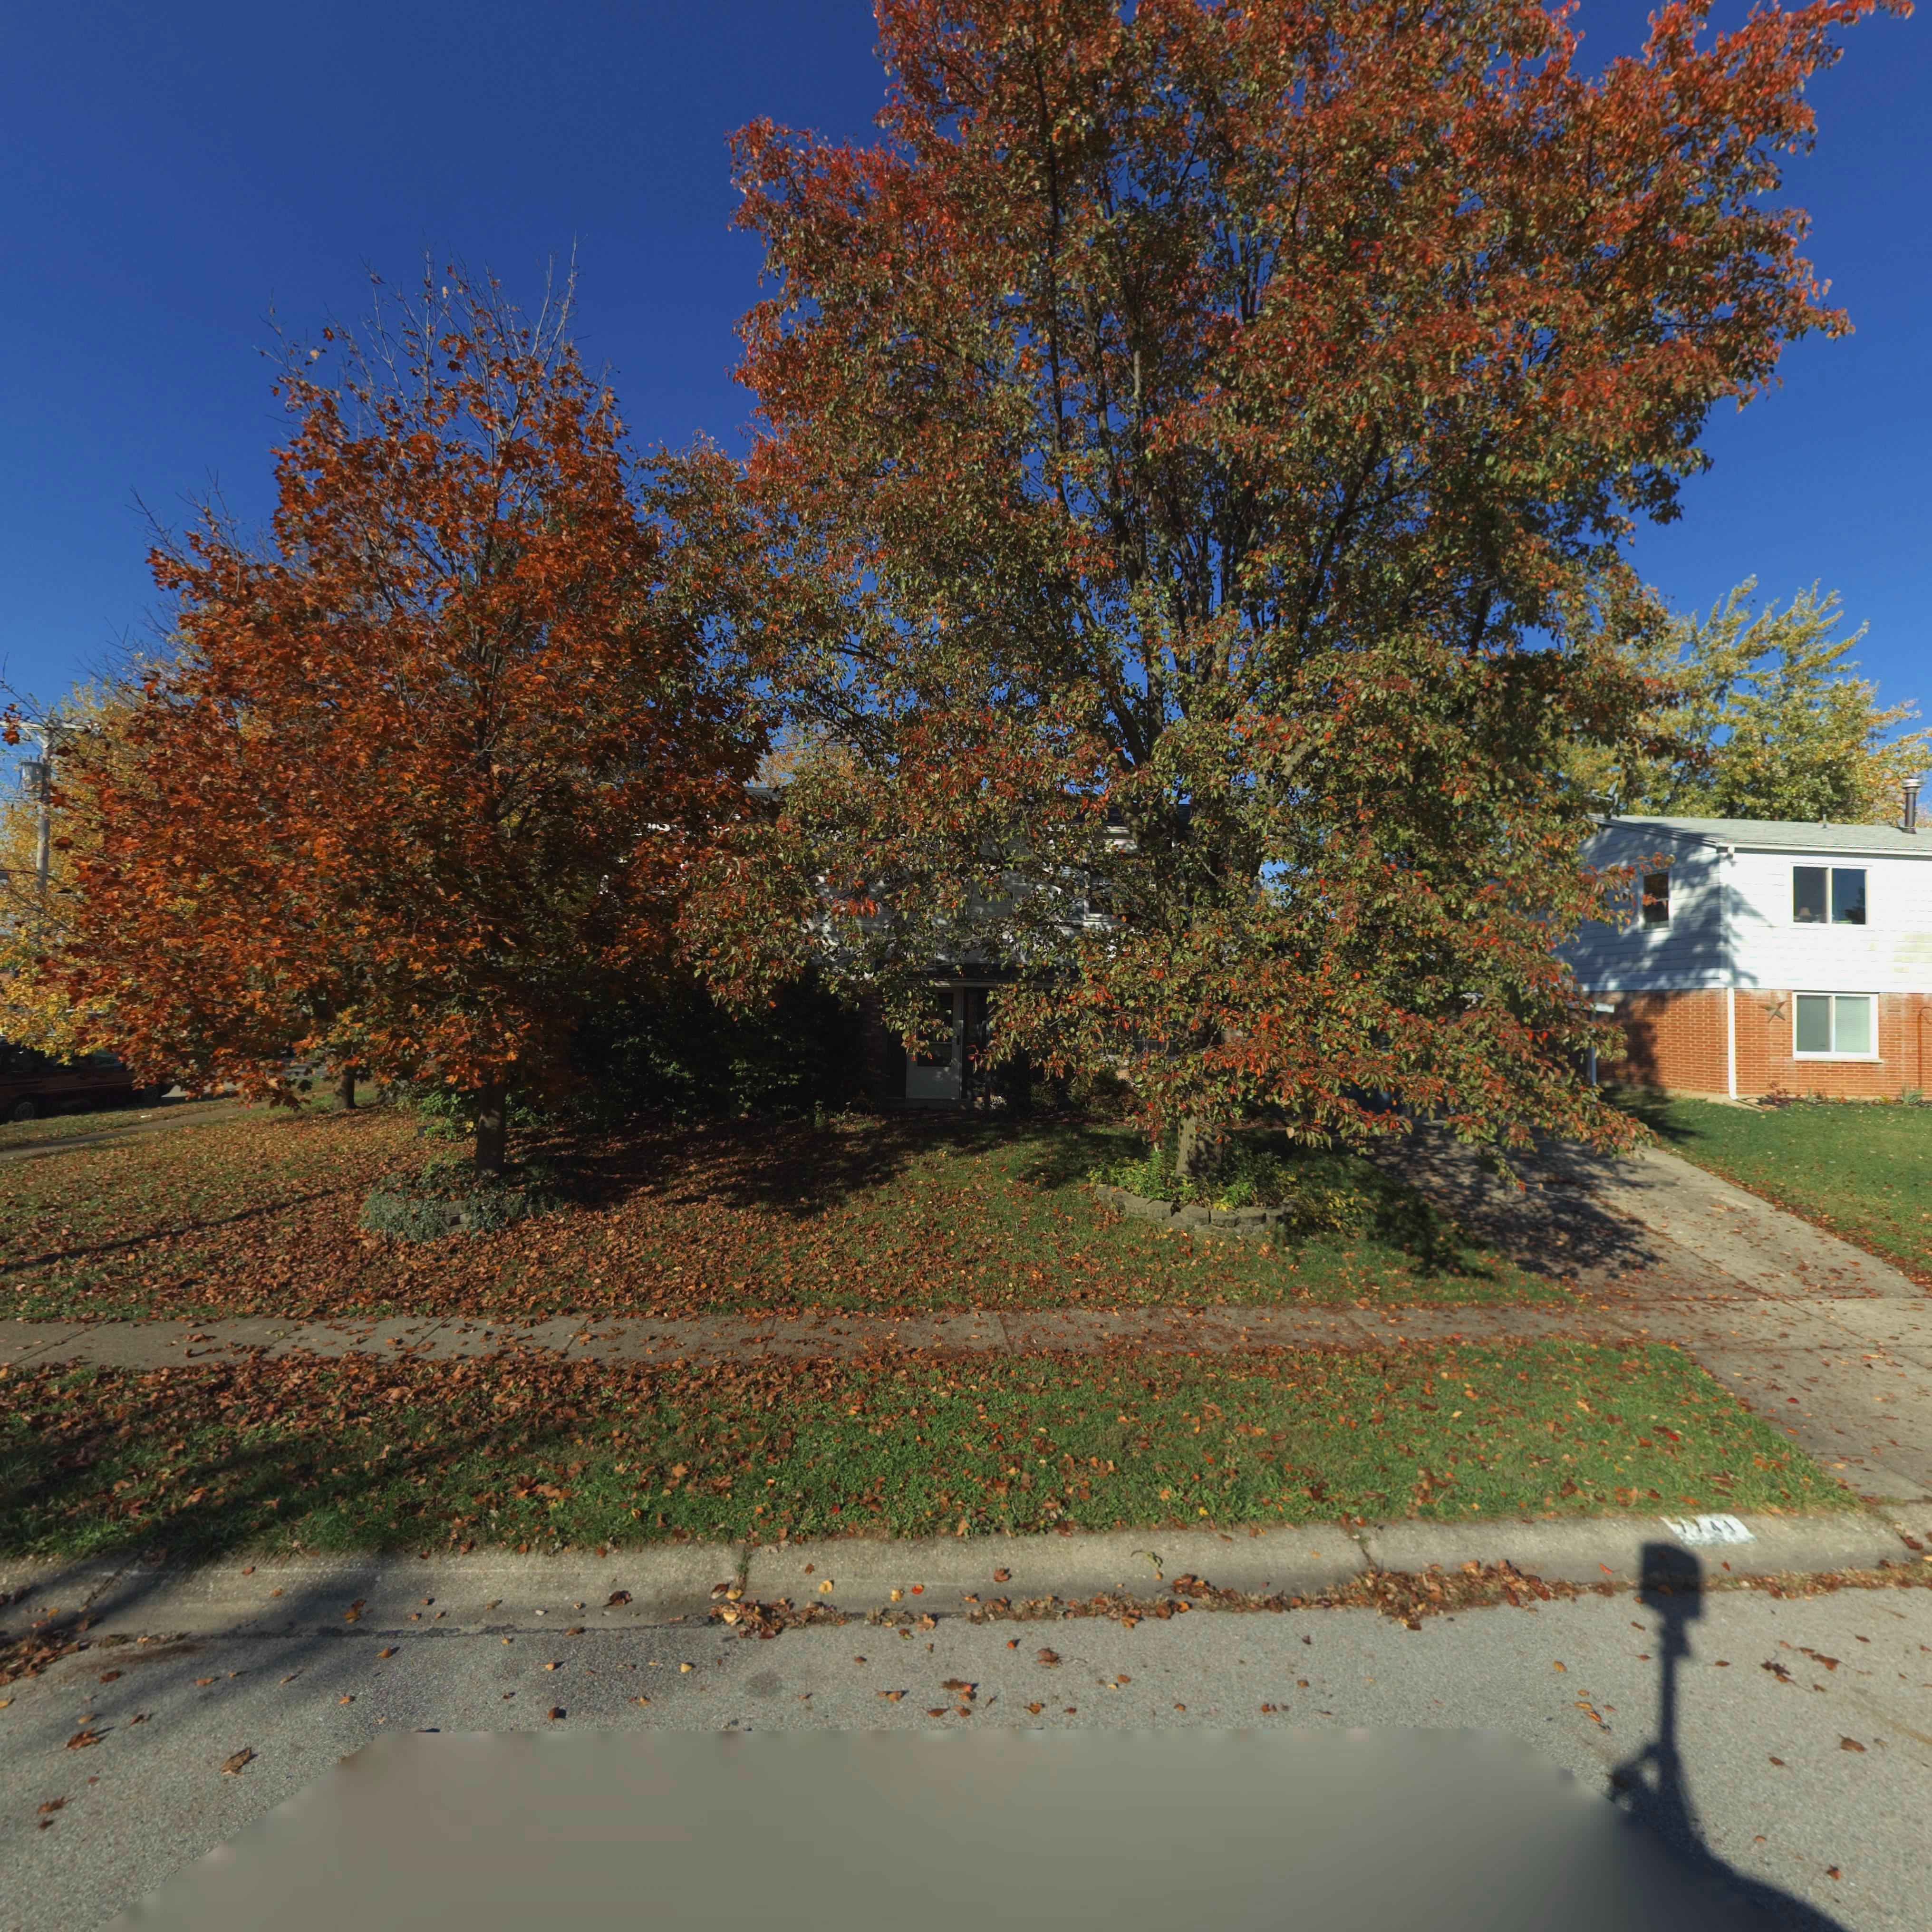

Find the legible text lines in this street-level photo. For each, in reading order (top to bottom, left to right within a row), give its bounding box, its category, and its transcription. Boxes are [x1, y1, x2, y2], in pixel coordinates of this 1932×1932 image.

[1669, 1518, 1738, 1536] StreetNumber: 7*41